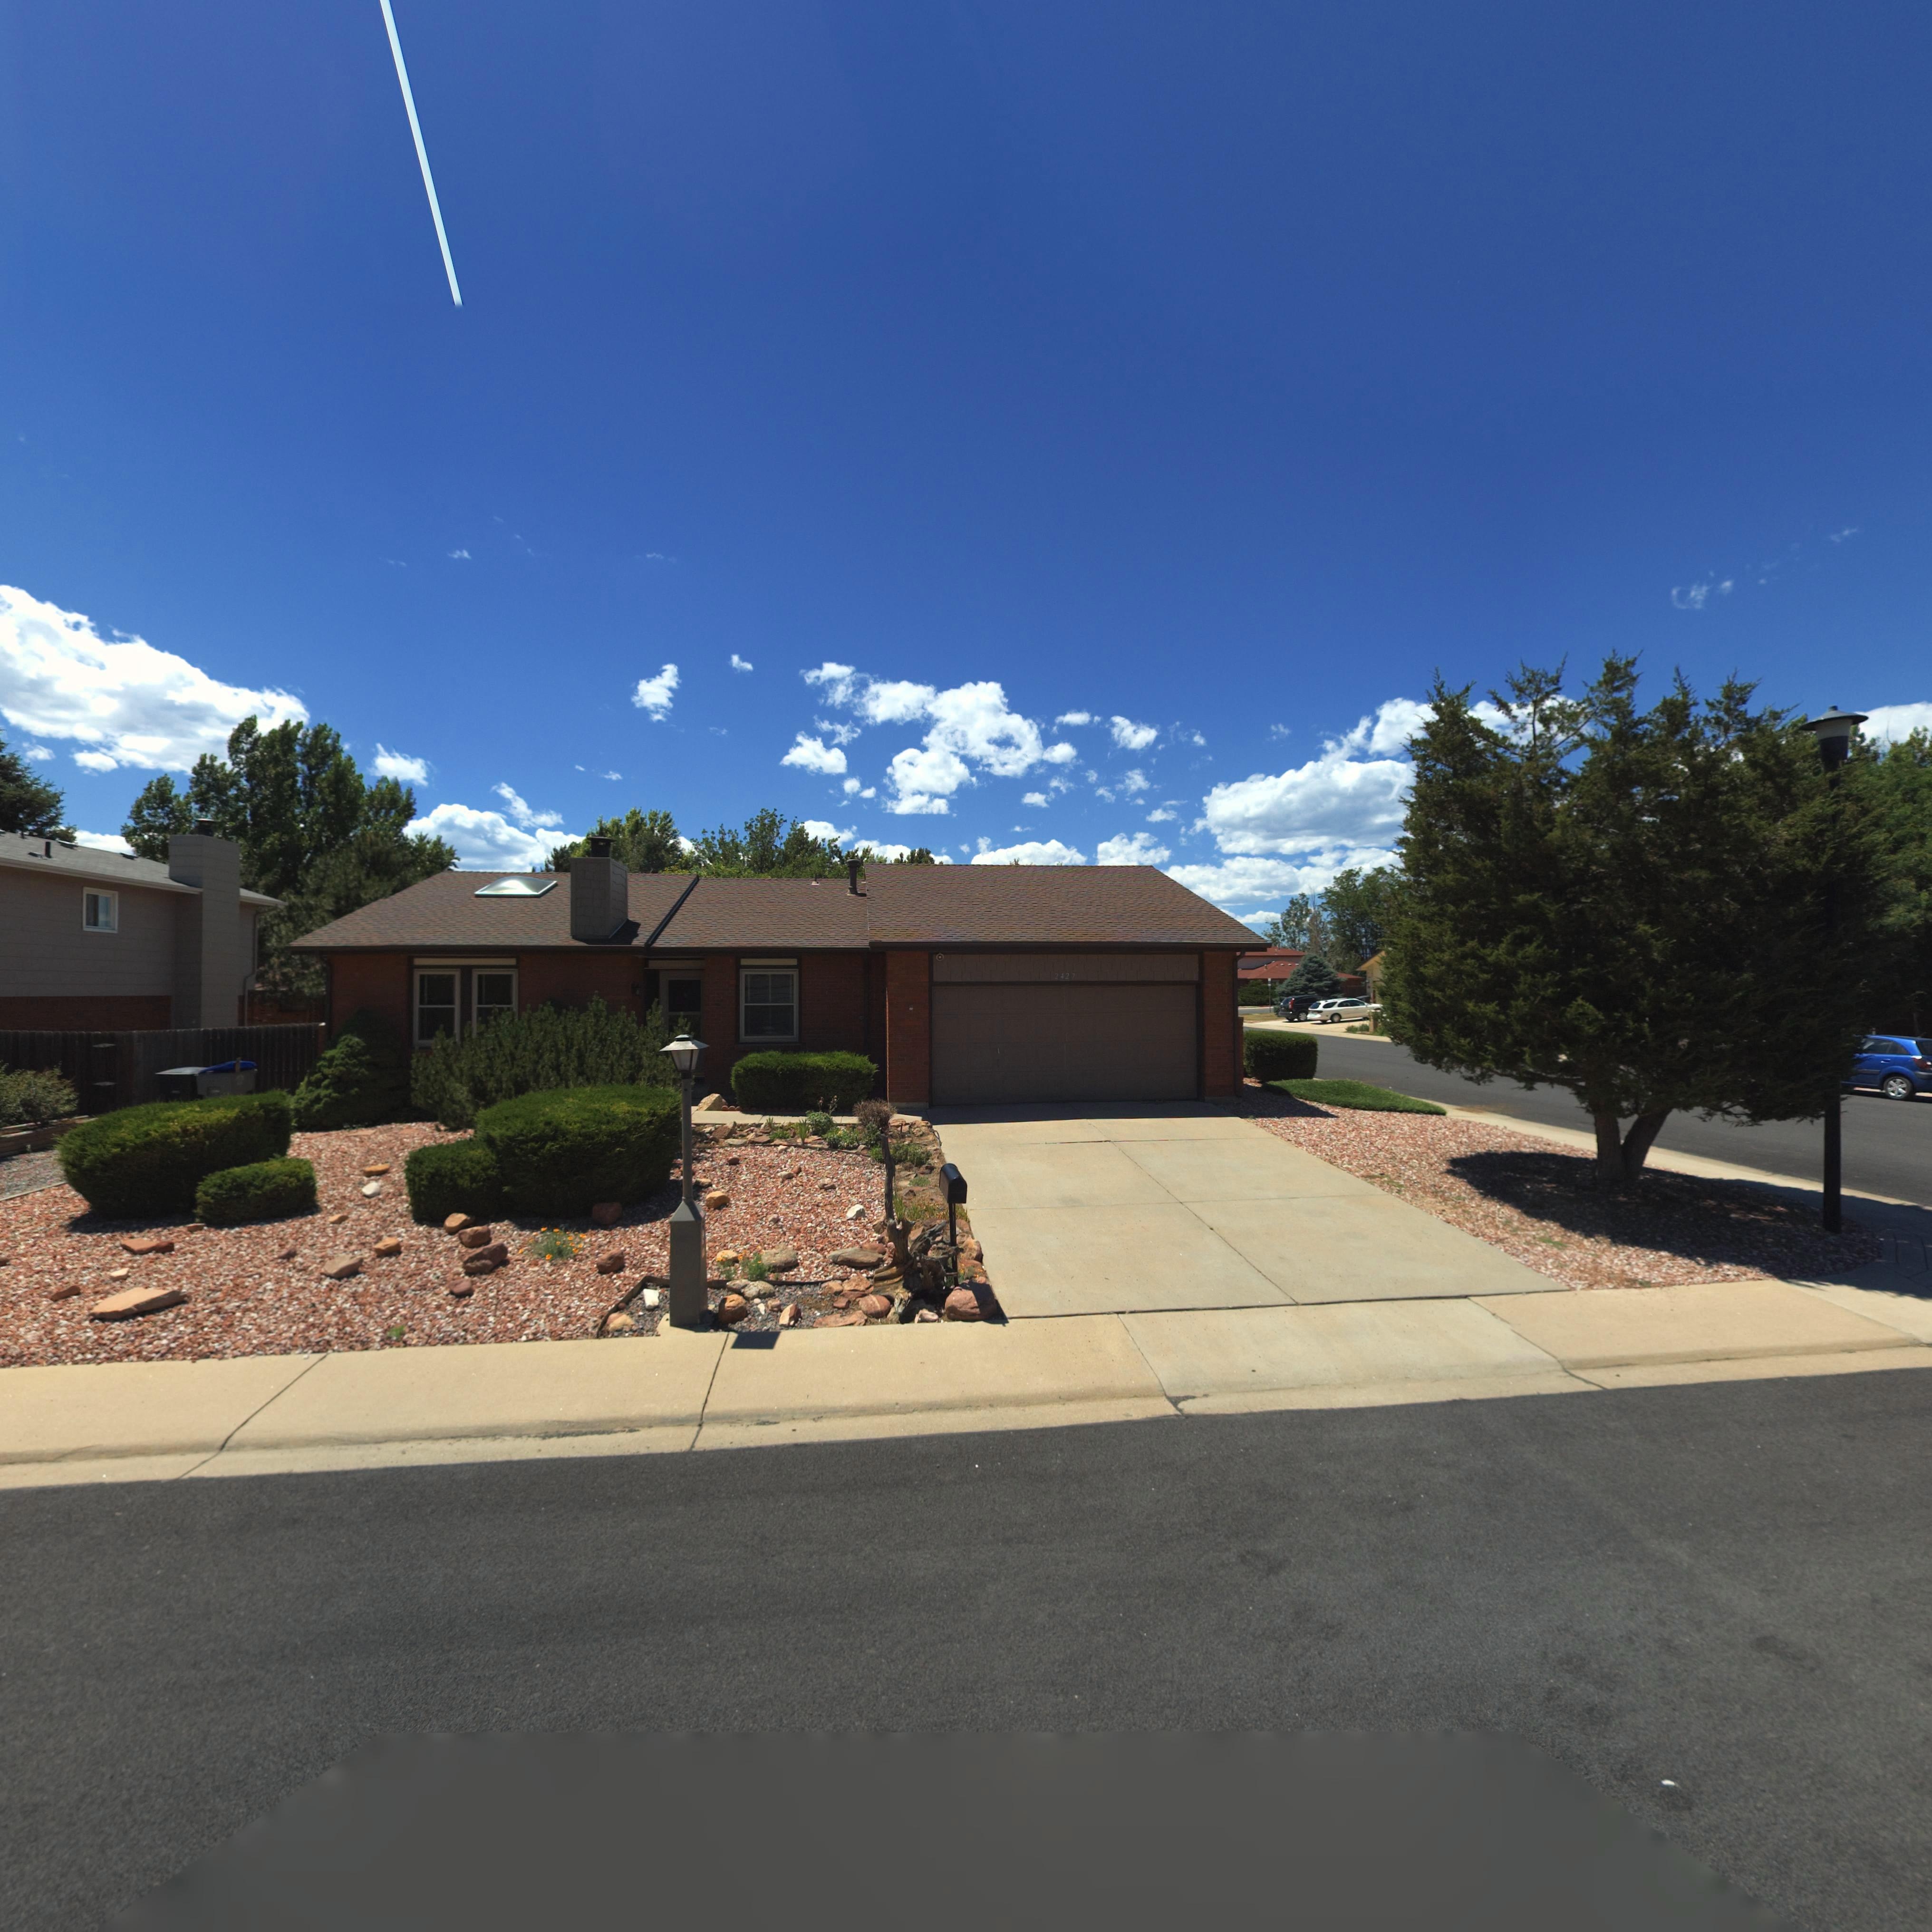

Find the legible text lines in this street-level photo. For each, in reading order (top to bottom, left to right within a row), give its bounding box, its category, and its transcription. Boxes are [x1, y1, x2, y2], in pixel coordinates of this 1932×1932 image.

[1053, 972, 1074, 980] StreetNumber: 2427